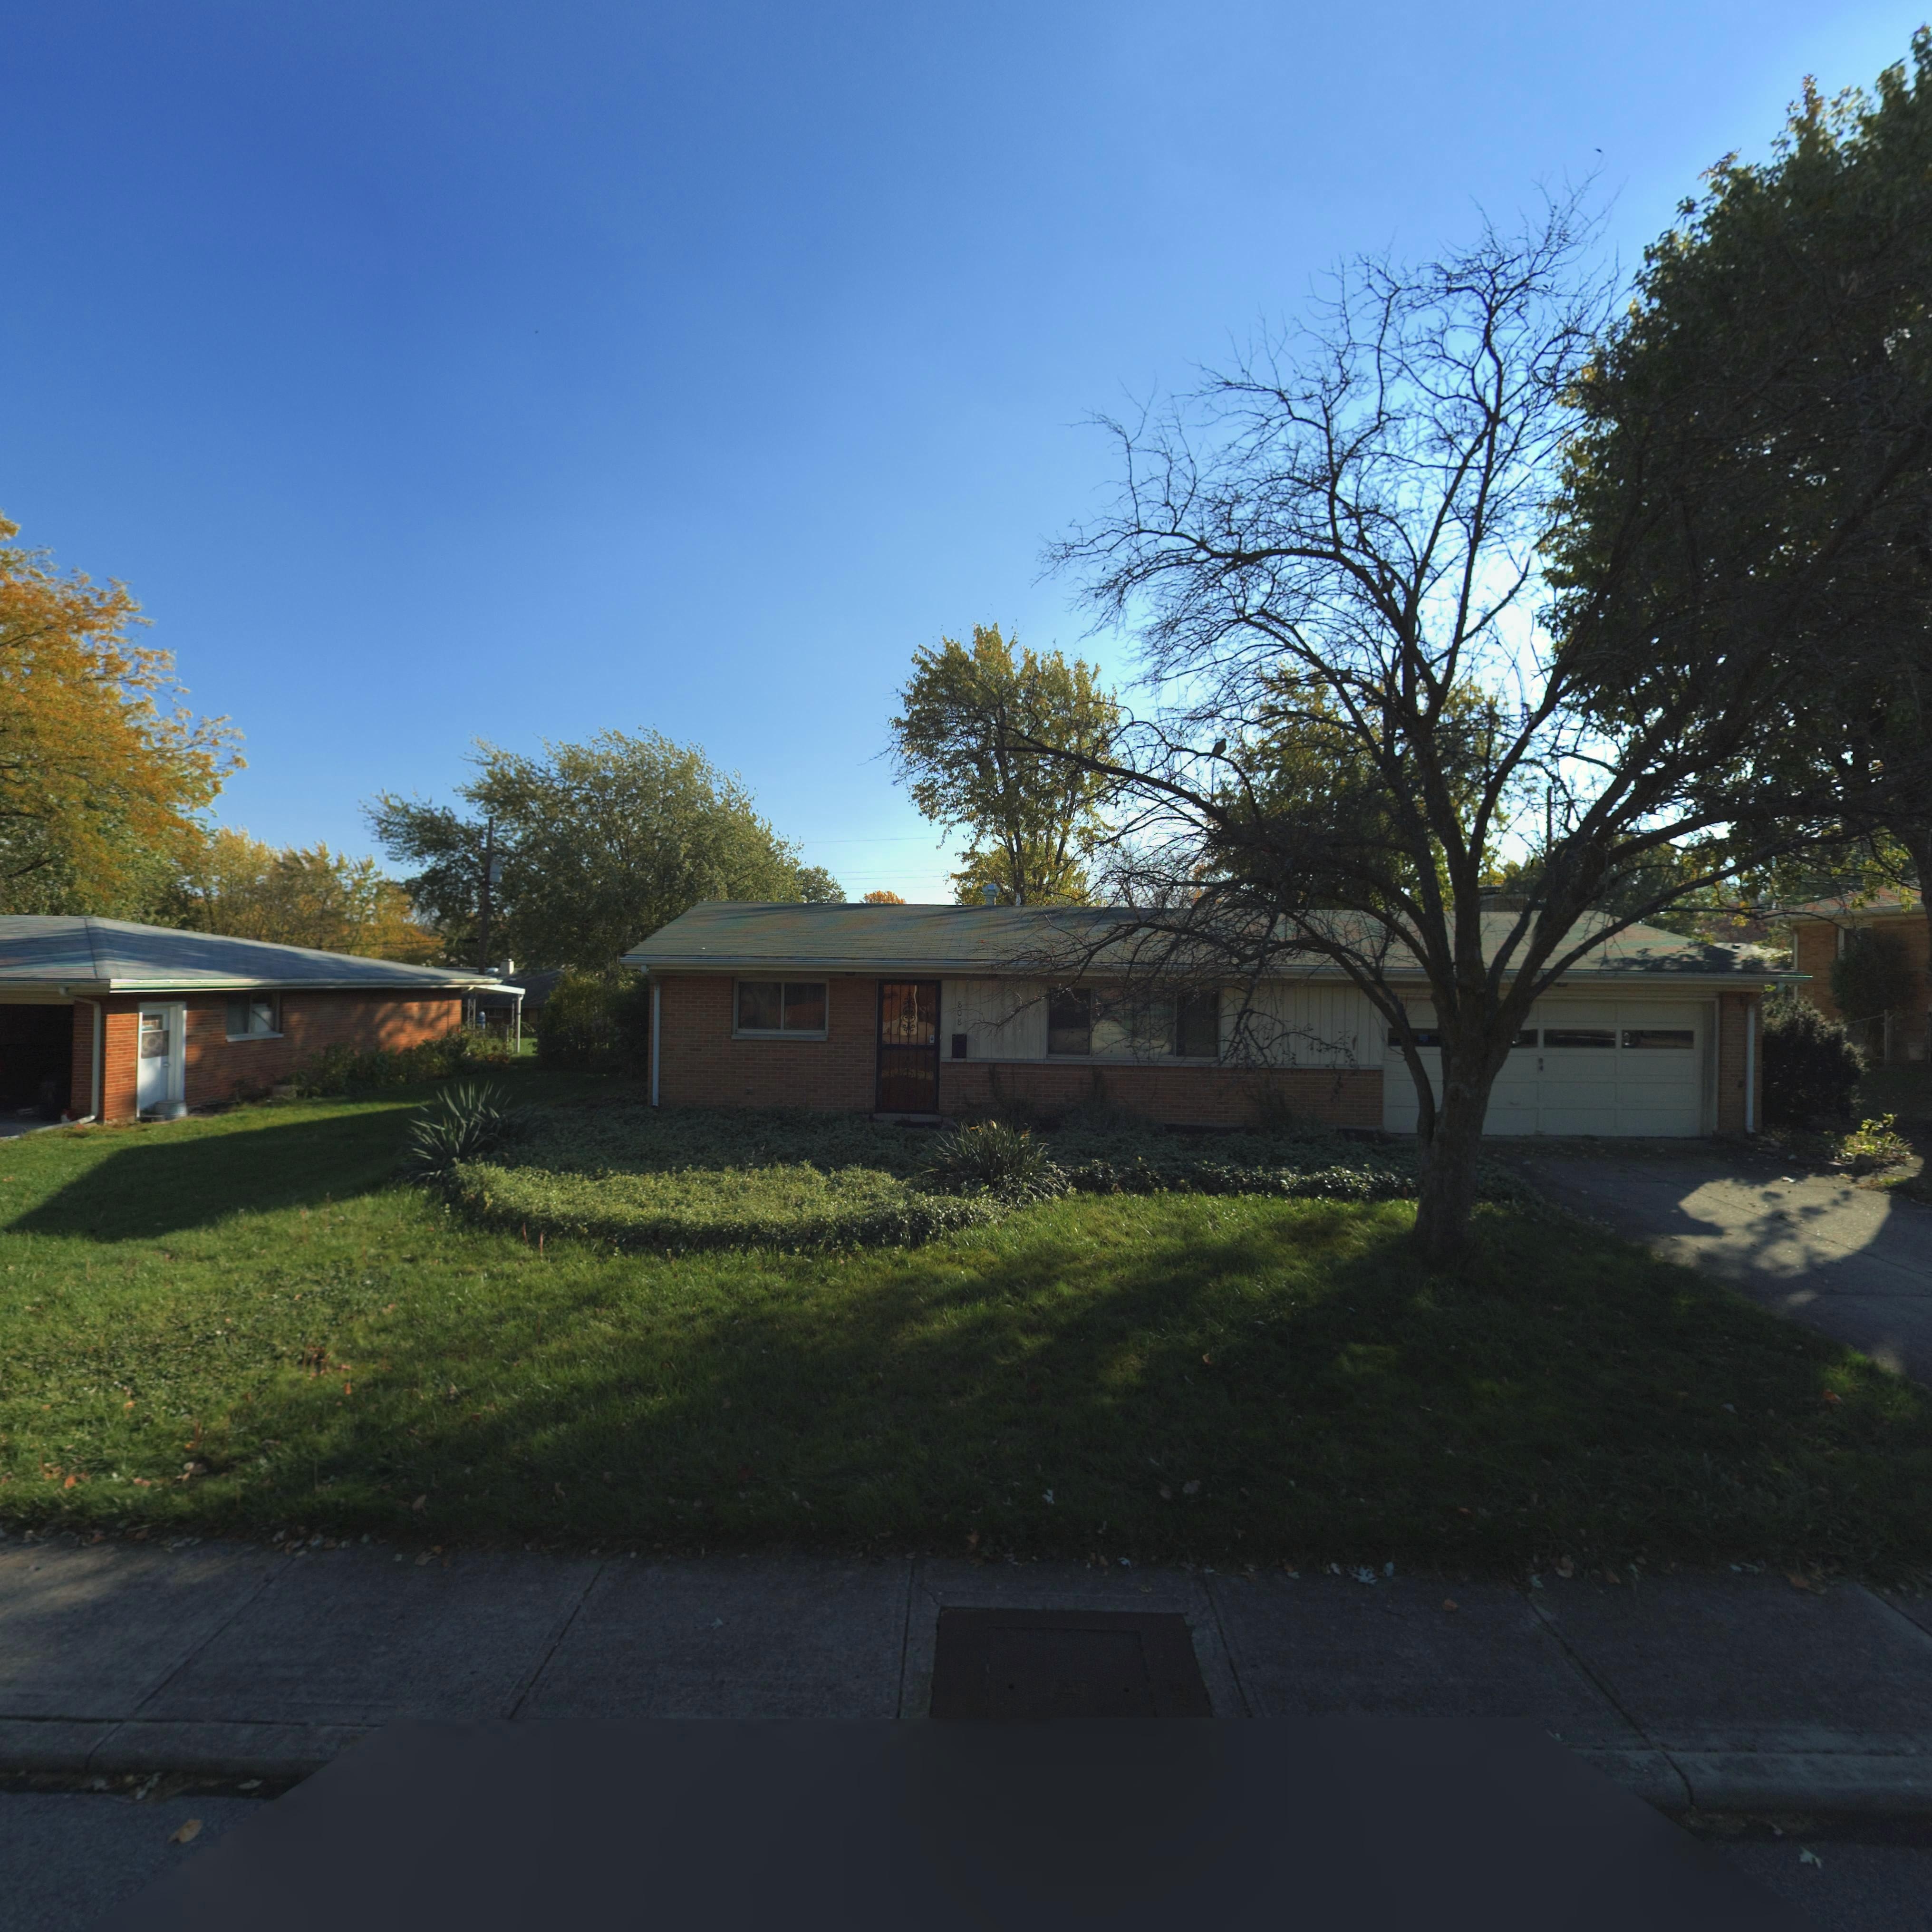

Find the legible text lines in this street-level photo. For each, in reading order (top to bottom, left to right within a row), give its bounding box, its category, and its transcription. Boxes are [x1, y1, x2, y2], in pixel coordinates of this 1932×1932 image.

[956, 999, 962, 1025] StreetNumber: 808